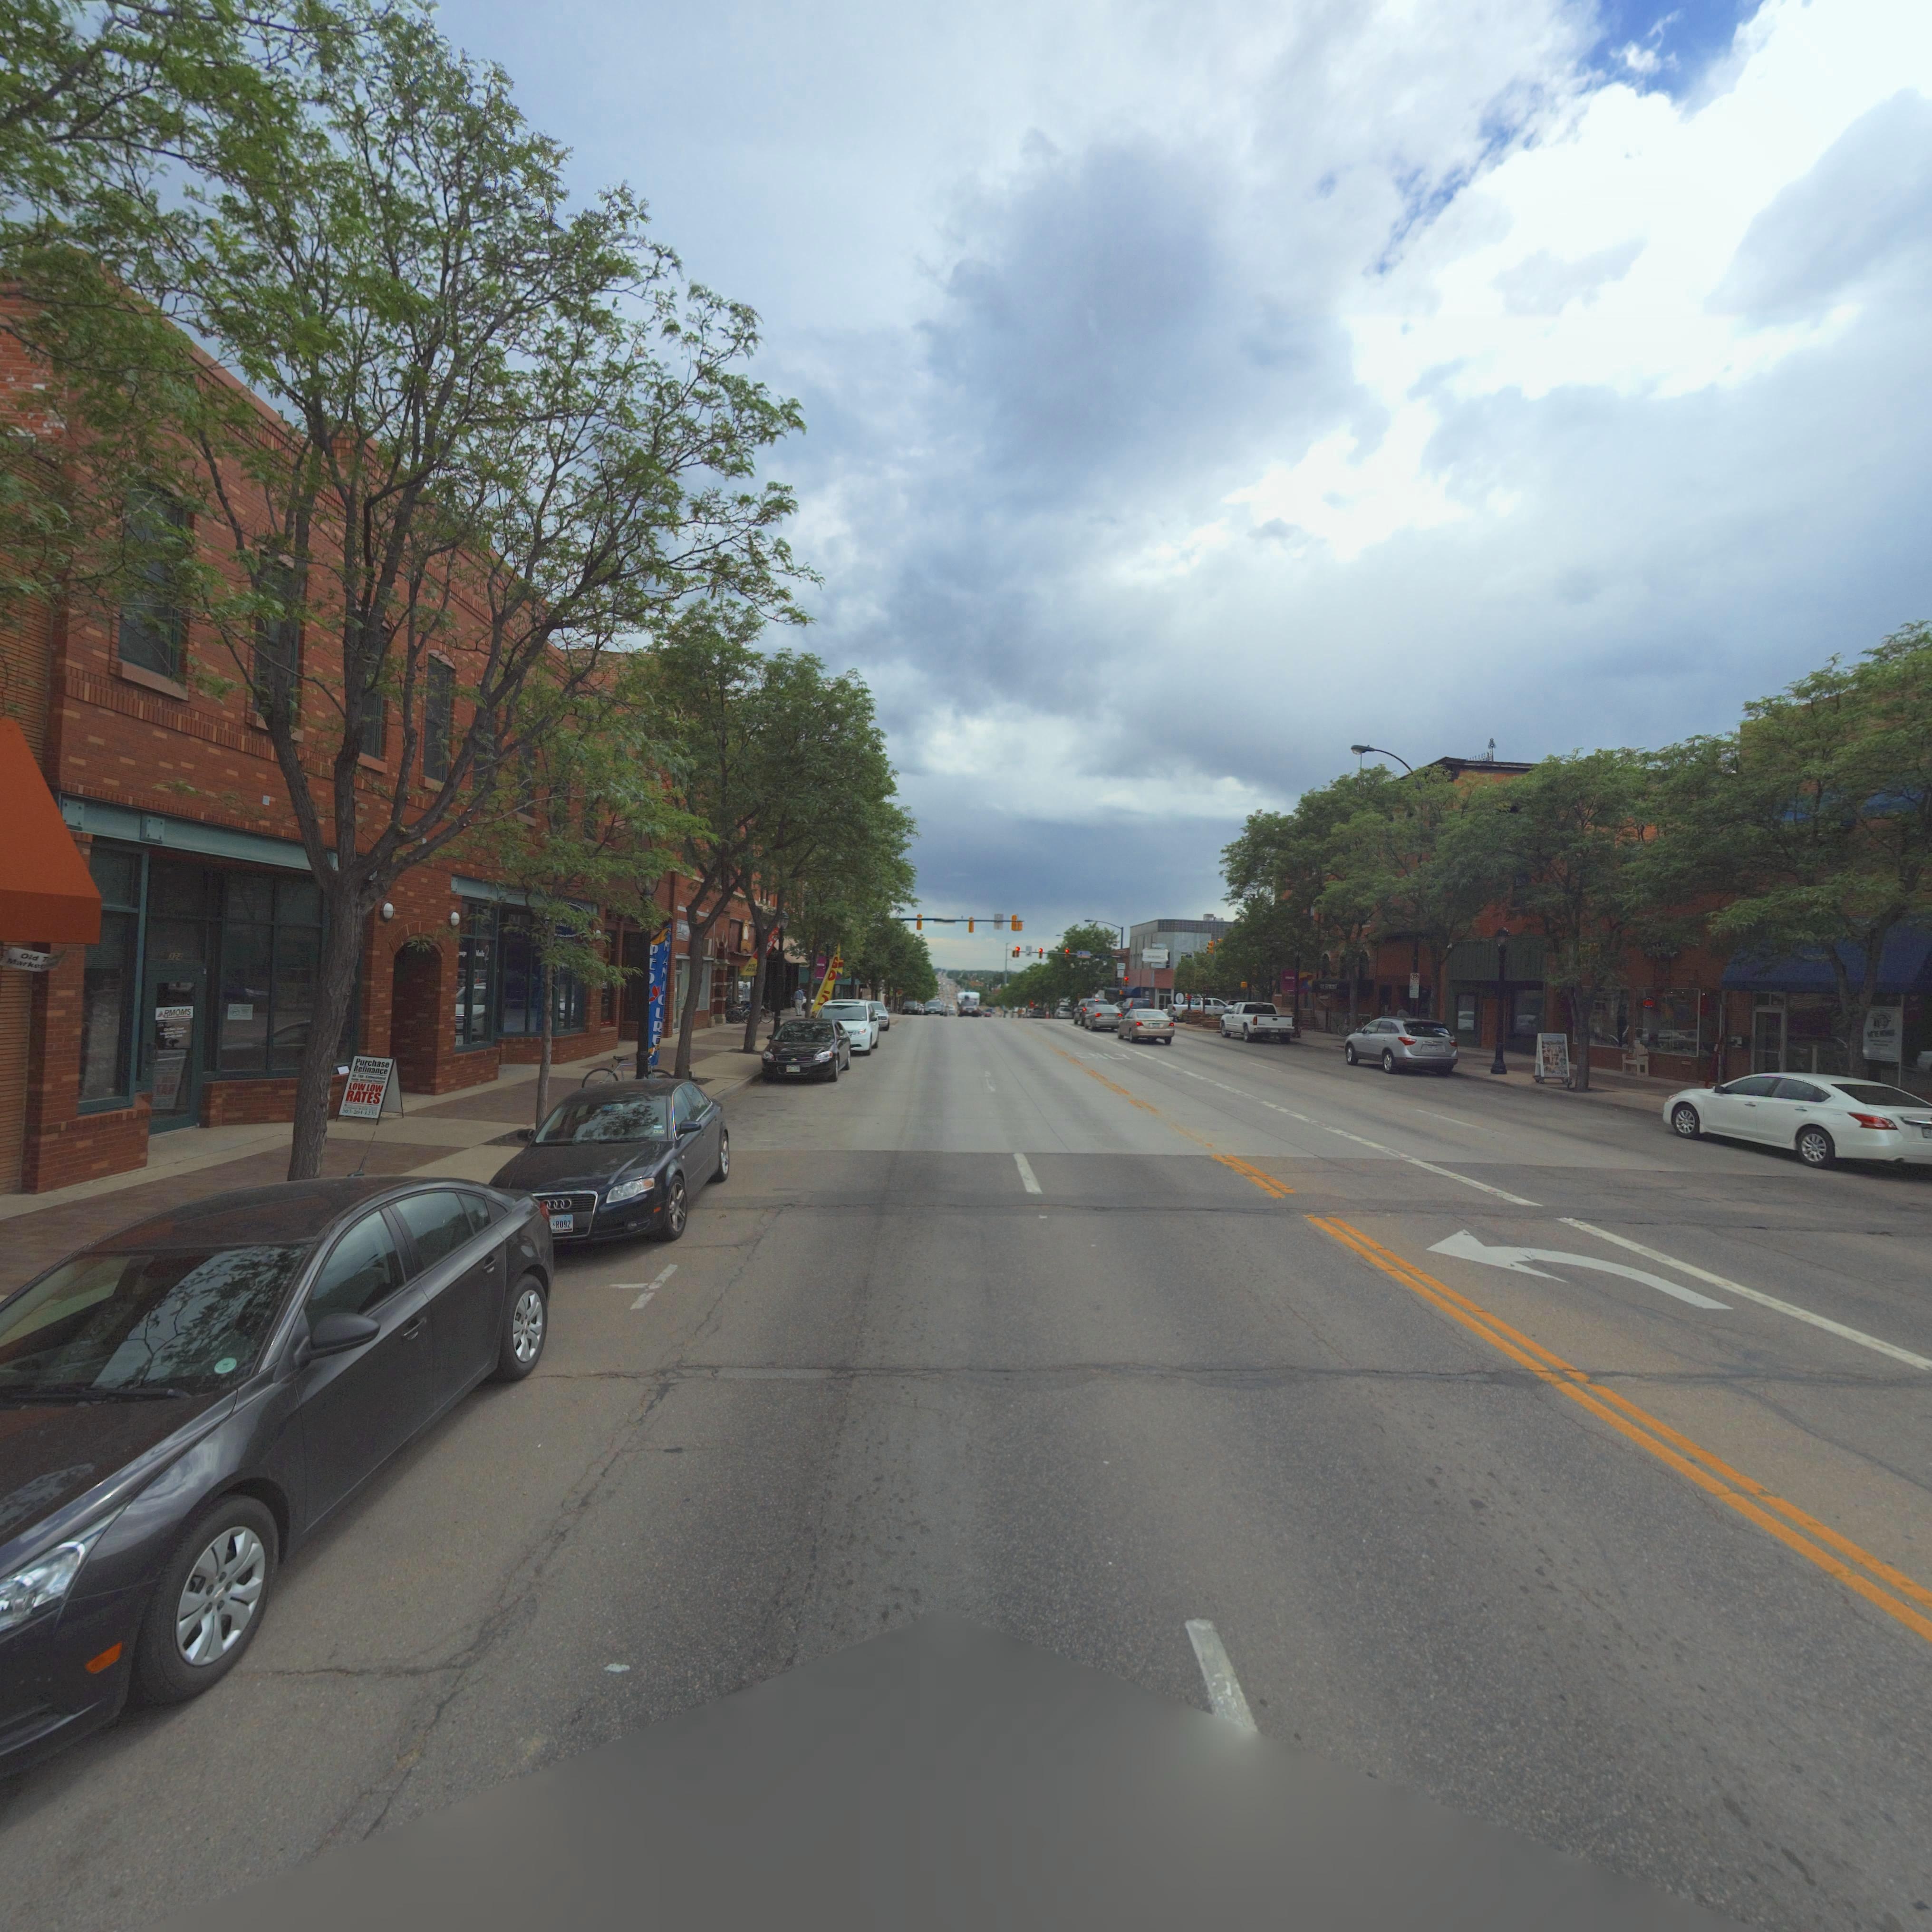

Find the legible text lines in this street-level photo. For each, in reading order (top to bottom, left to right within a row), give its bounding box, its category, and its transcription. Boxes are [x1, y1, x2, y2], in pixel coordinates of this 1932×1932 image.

[20, 952, 53, 962] BusinessName: Old T***
[168, 953, 183, 959] StreetNumber: 3**
[6, 957, 58, 969] BusinessName: M**ke******
[164, 1008, 191, 1016] BusinessName: RMOMS